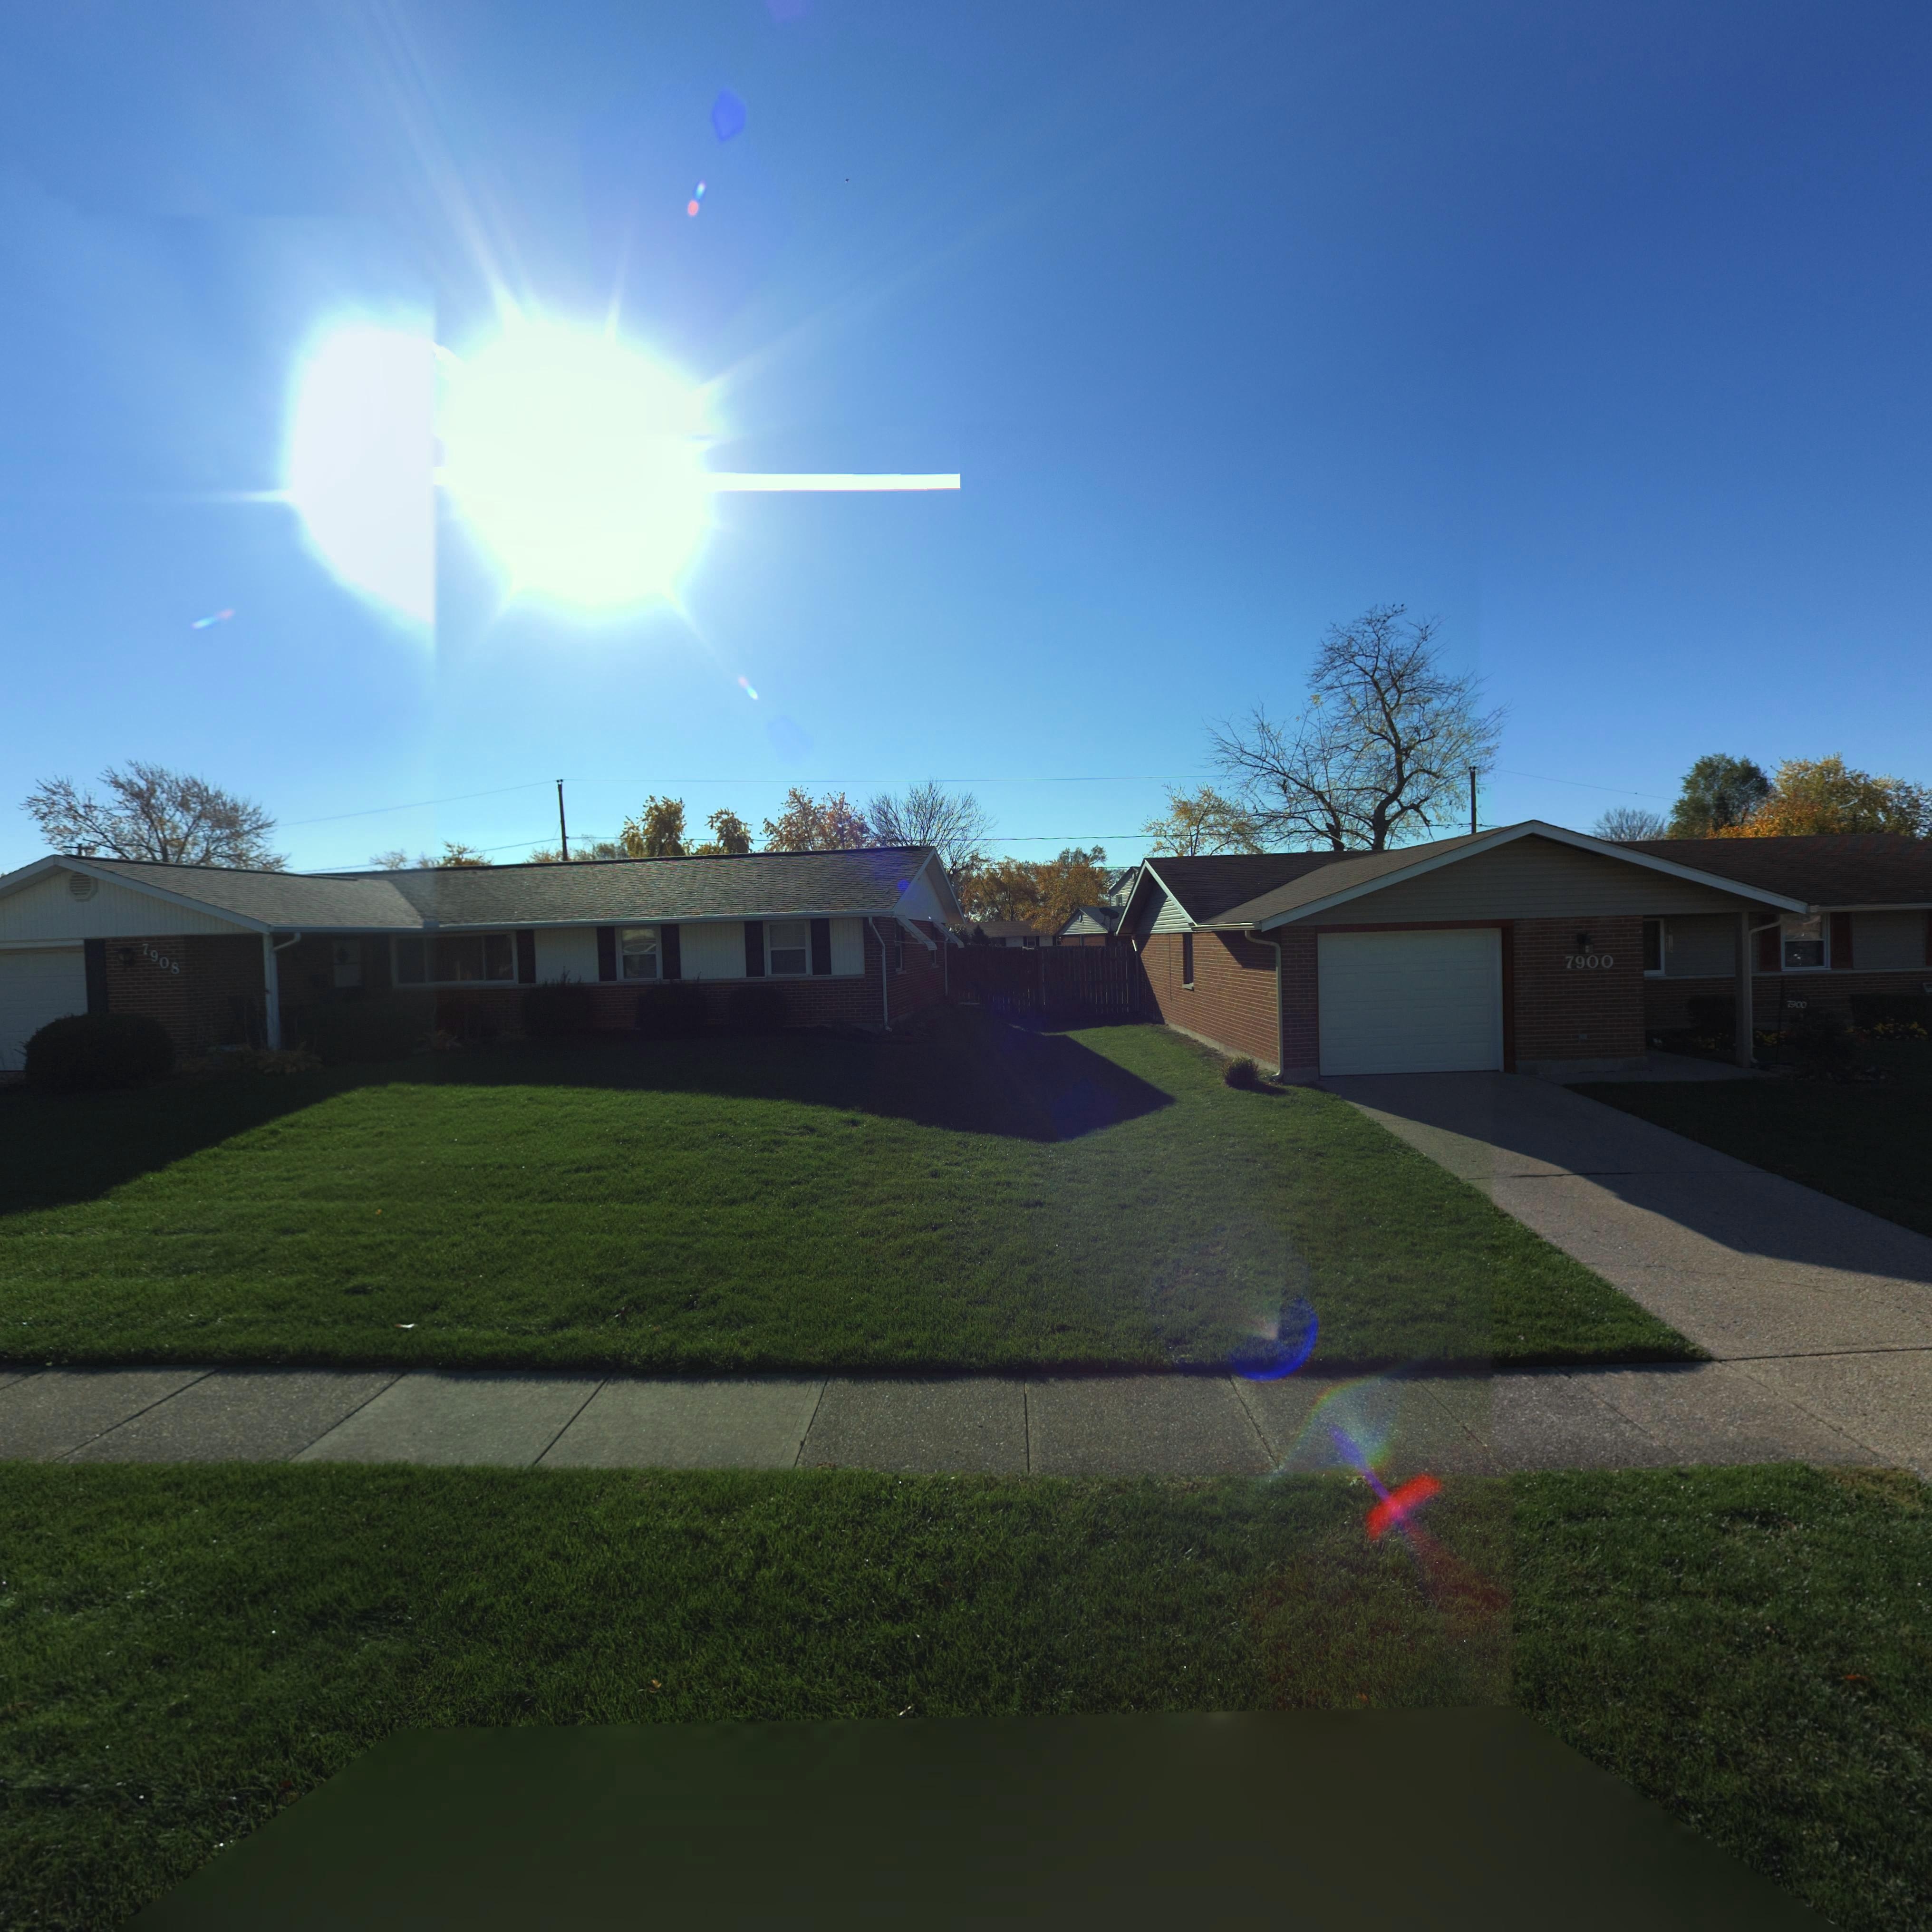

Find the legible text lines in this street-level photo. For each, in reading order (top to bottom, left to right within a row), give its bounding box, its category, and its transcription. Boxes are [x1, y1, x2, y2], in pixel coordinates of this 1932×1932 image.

[142, 943, 181, 975] StreetNumber: 7908
[1565, 954, 1614, 969] StreetNumber: 7900
[1787, 1000, 1808, 1009] StreetNumber: 7900